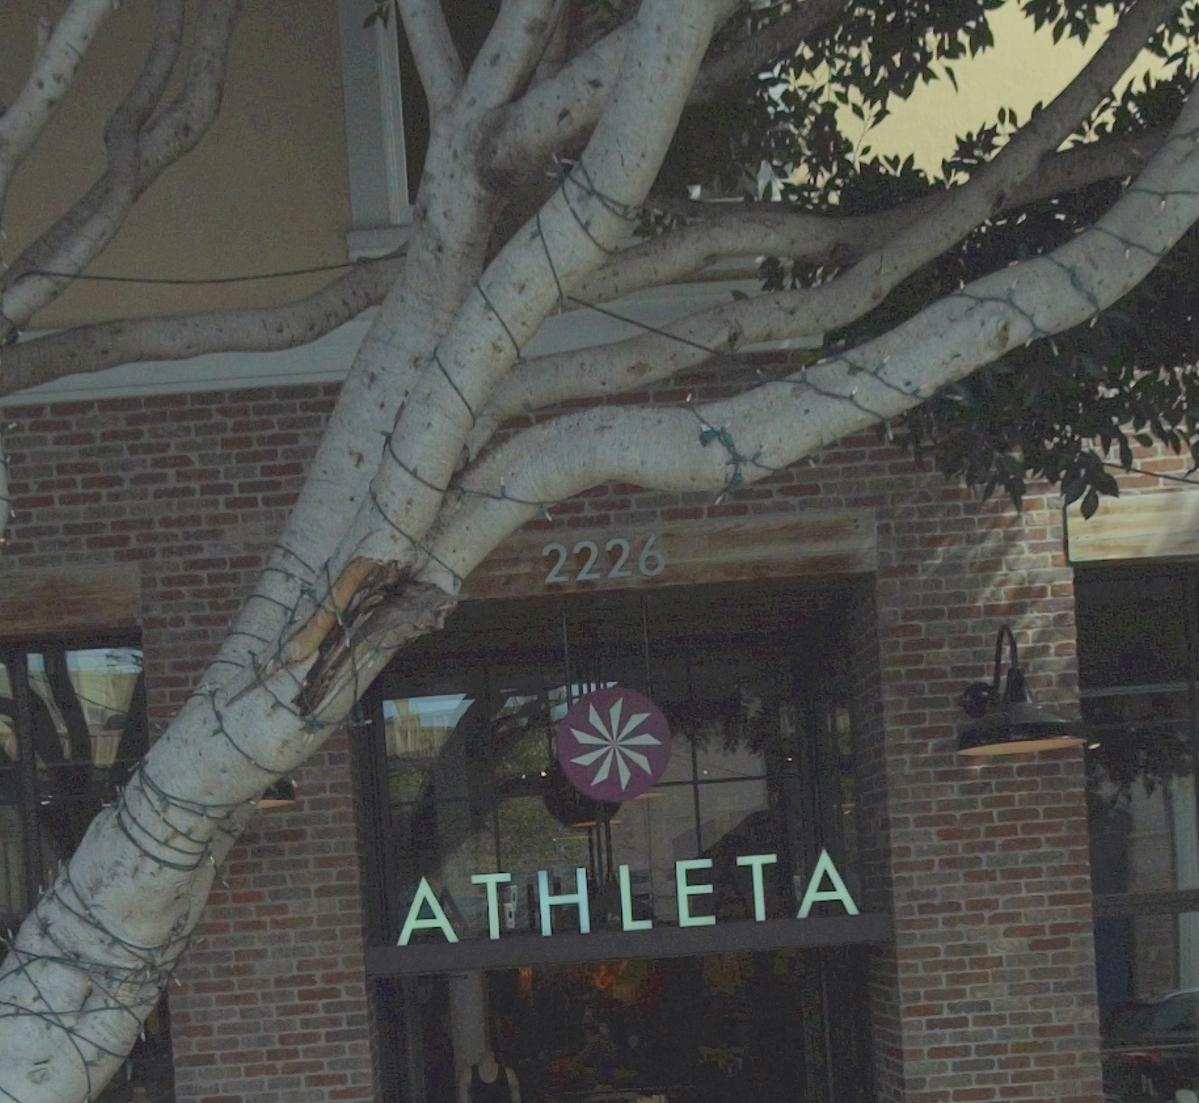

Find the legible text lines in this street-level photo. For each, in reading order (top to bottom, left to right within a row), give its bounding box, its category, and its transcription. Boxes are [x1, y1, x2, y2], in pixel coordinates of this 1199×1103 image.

[540, 530, 670, 587] StreetNumber: 2226
[391, 843, 866, 951] BusinessName: ATHLETA